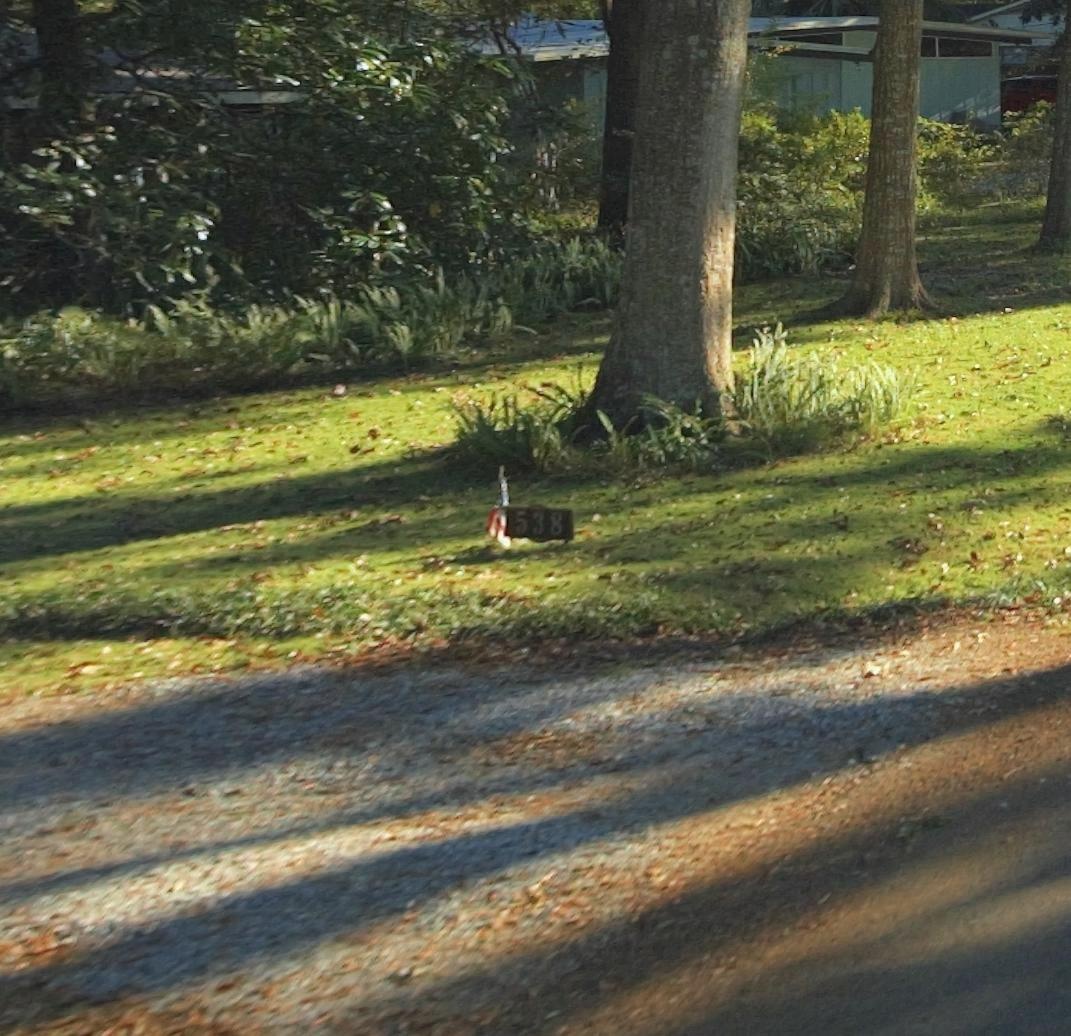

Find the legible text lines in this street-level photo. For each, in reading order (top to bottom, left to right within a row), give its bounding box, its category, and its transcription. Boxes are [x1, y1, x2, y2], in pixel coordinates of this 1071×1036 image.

[512, 508, 565, 539] StreetNumber: 538